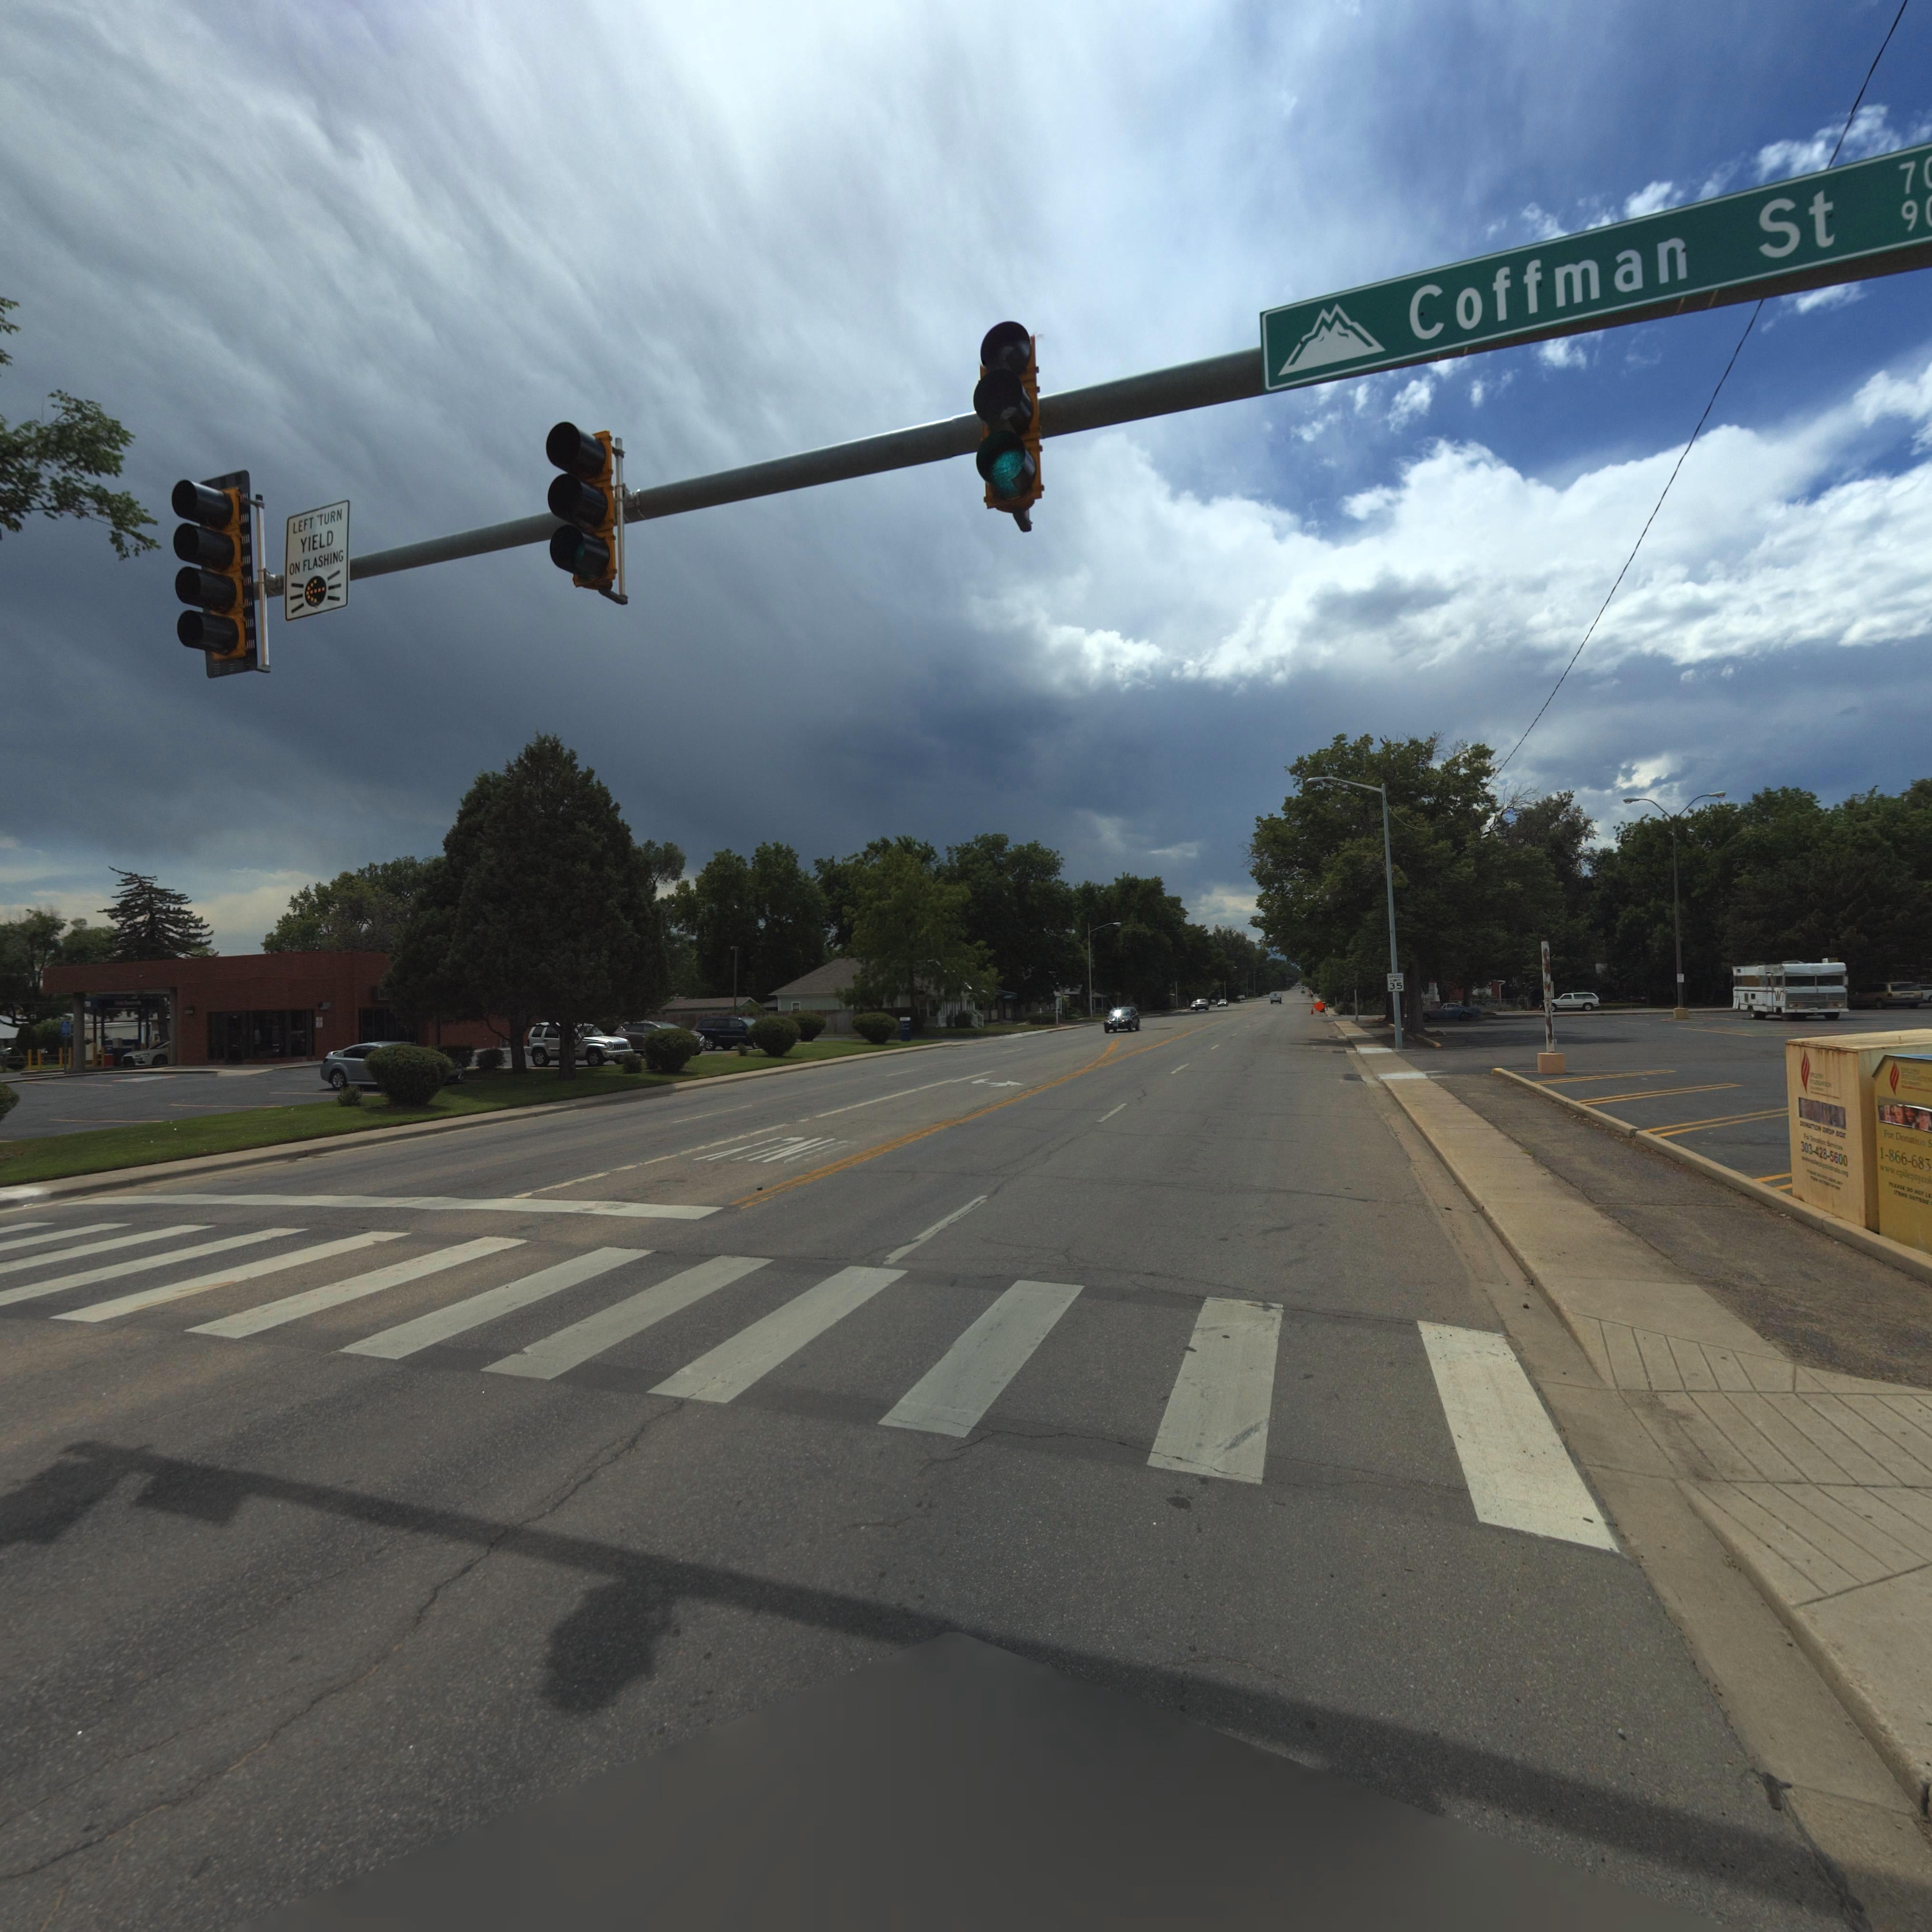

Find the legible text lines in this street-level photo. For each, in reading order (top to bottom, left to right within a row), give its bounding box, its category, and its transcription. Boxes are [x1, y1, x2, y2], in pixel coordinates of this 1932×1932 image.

[1897, 159, 1918, 196] StreetNumberRange: 7
[1900, 198, 1920, 233] StreetNumberRange: 9
[1408, 187, 1838, 343] StreetName: Coffman St